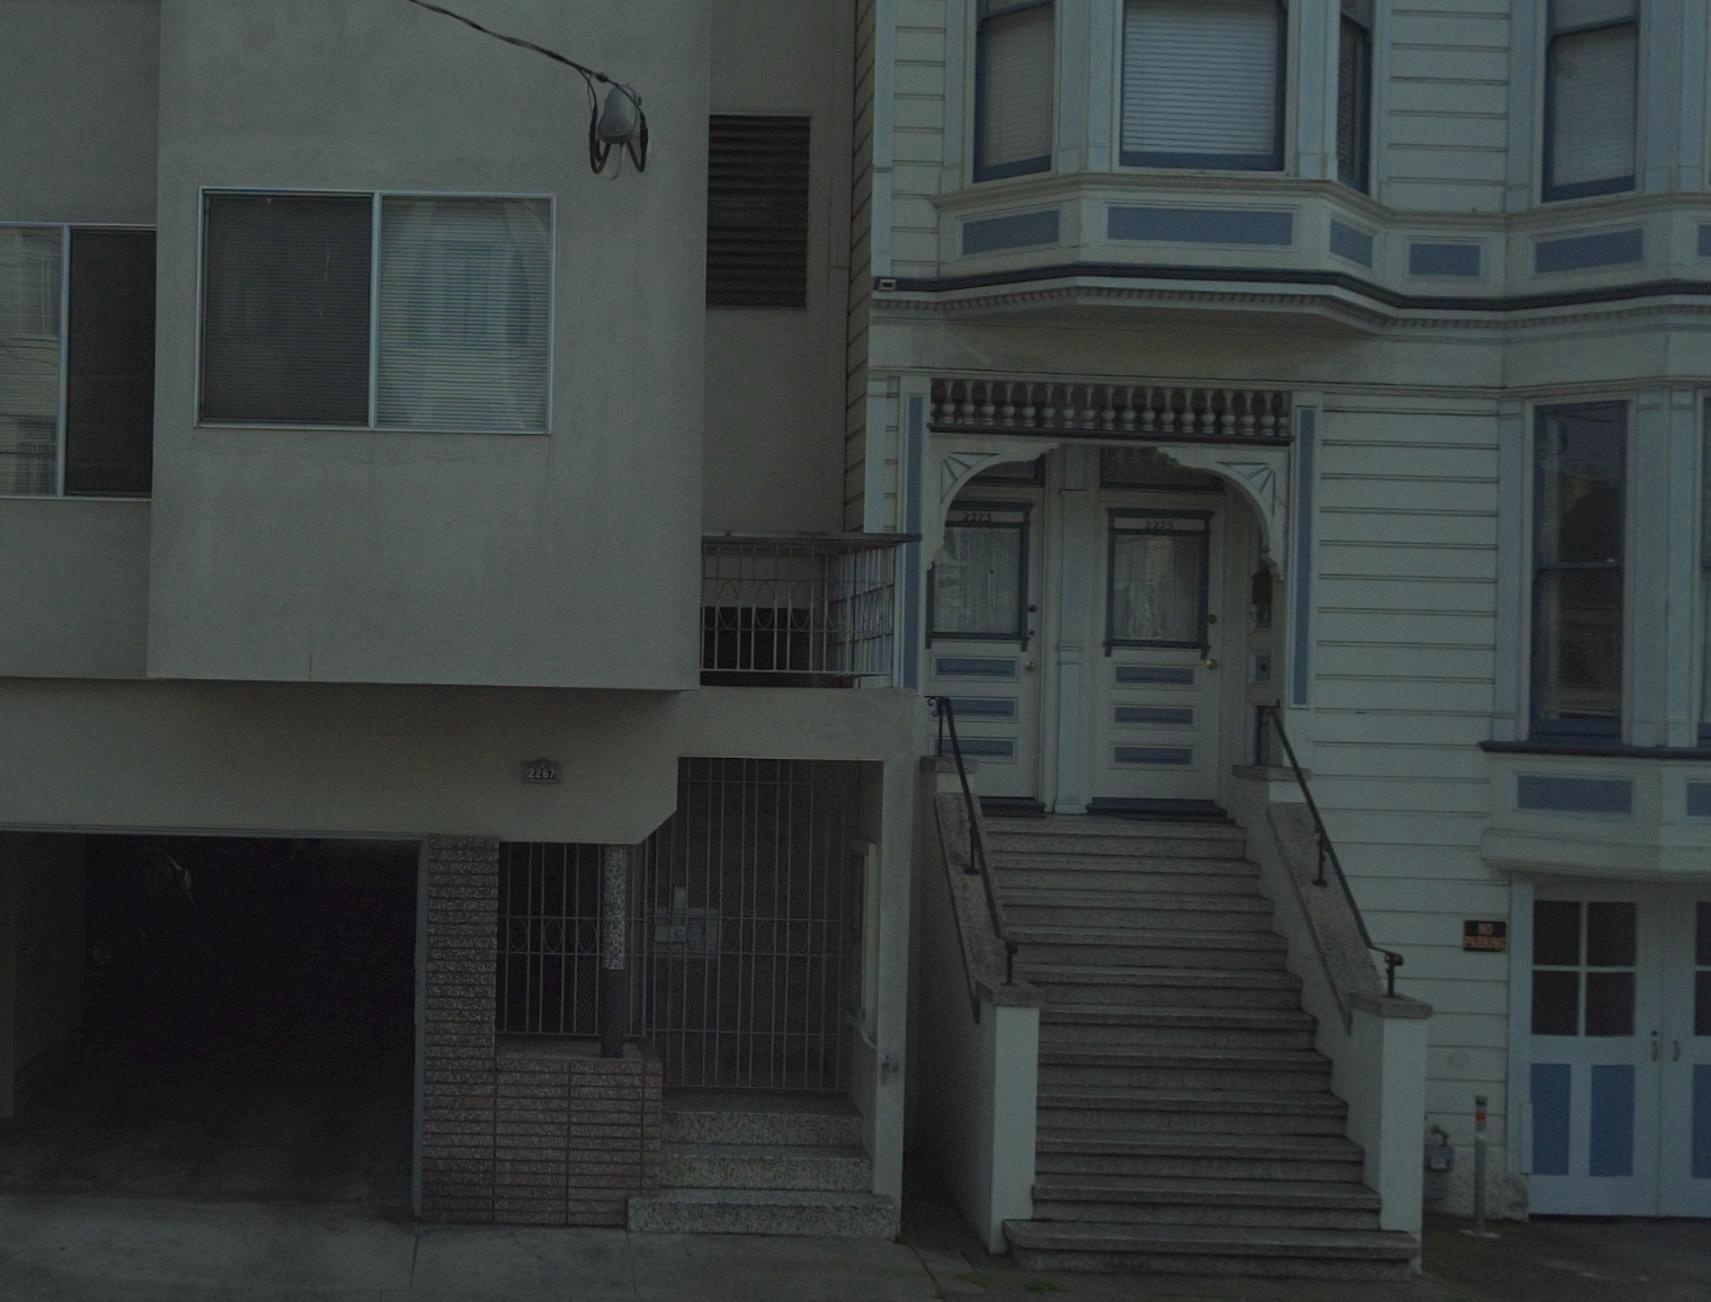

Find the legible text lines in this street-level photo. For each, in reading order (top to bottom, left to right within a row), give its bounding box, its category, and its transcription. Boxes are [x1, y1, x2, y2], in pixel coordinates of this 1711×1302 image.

[957, 509, 996, 525] StreetNumber: 227*
[1140, 518, 1176, 533] StreetNumber: 227*
[525, 766, 559, 781] StreetNumber: 2267